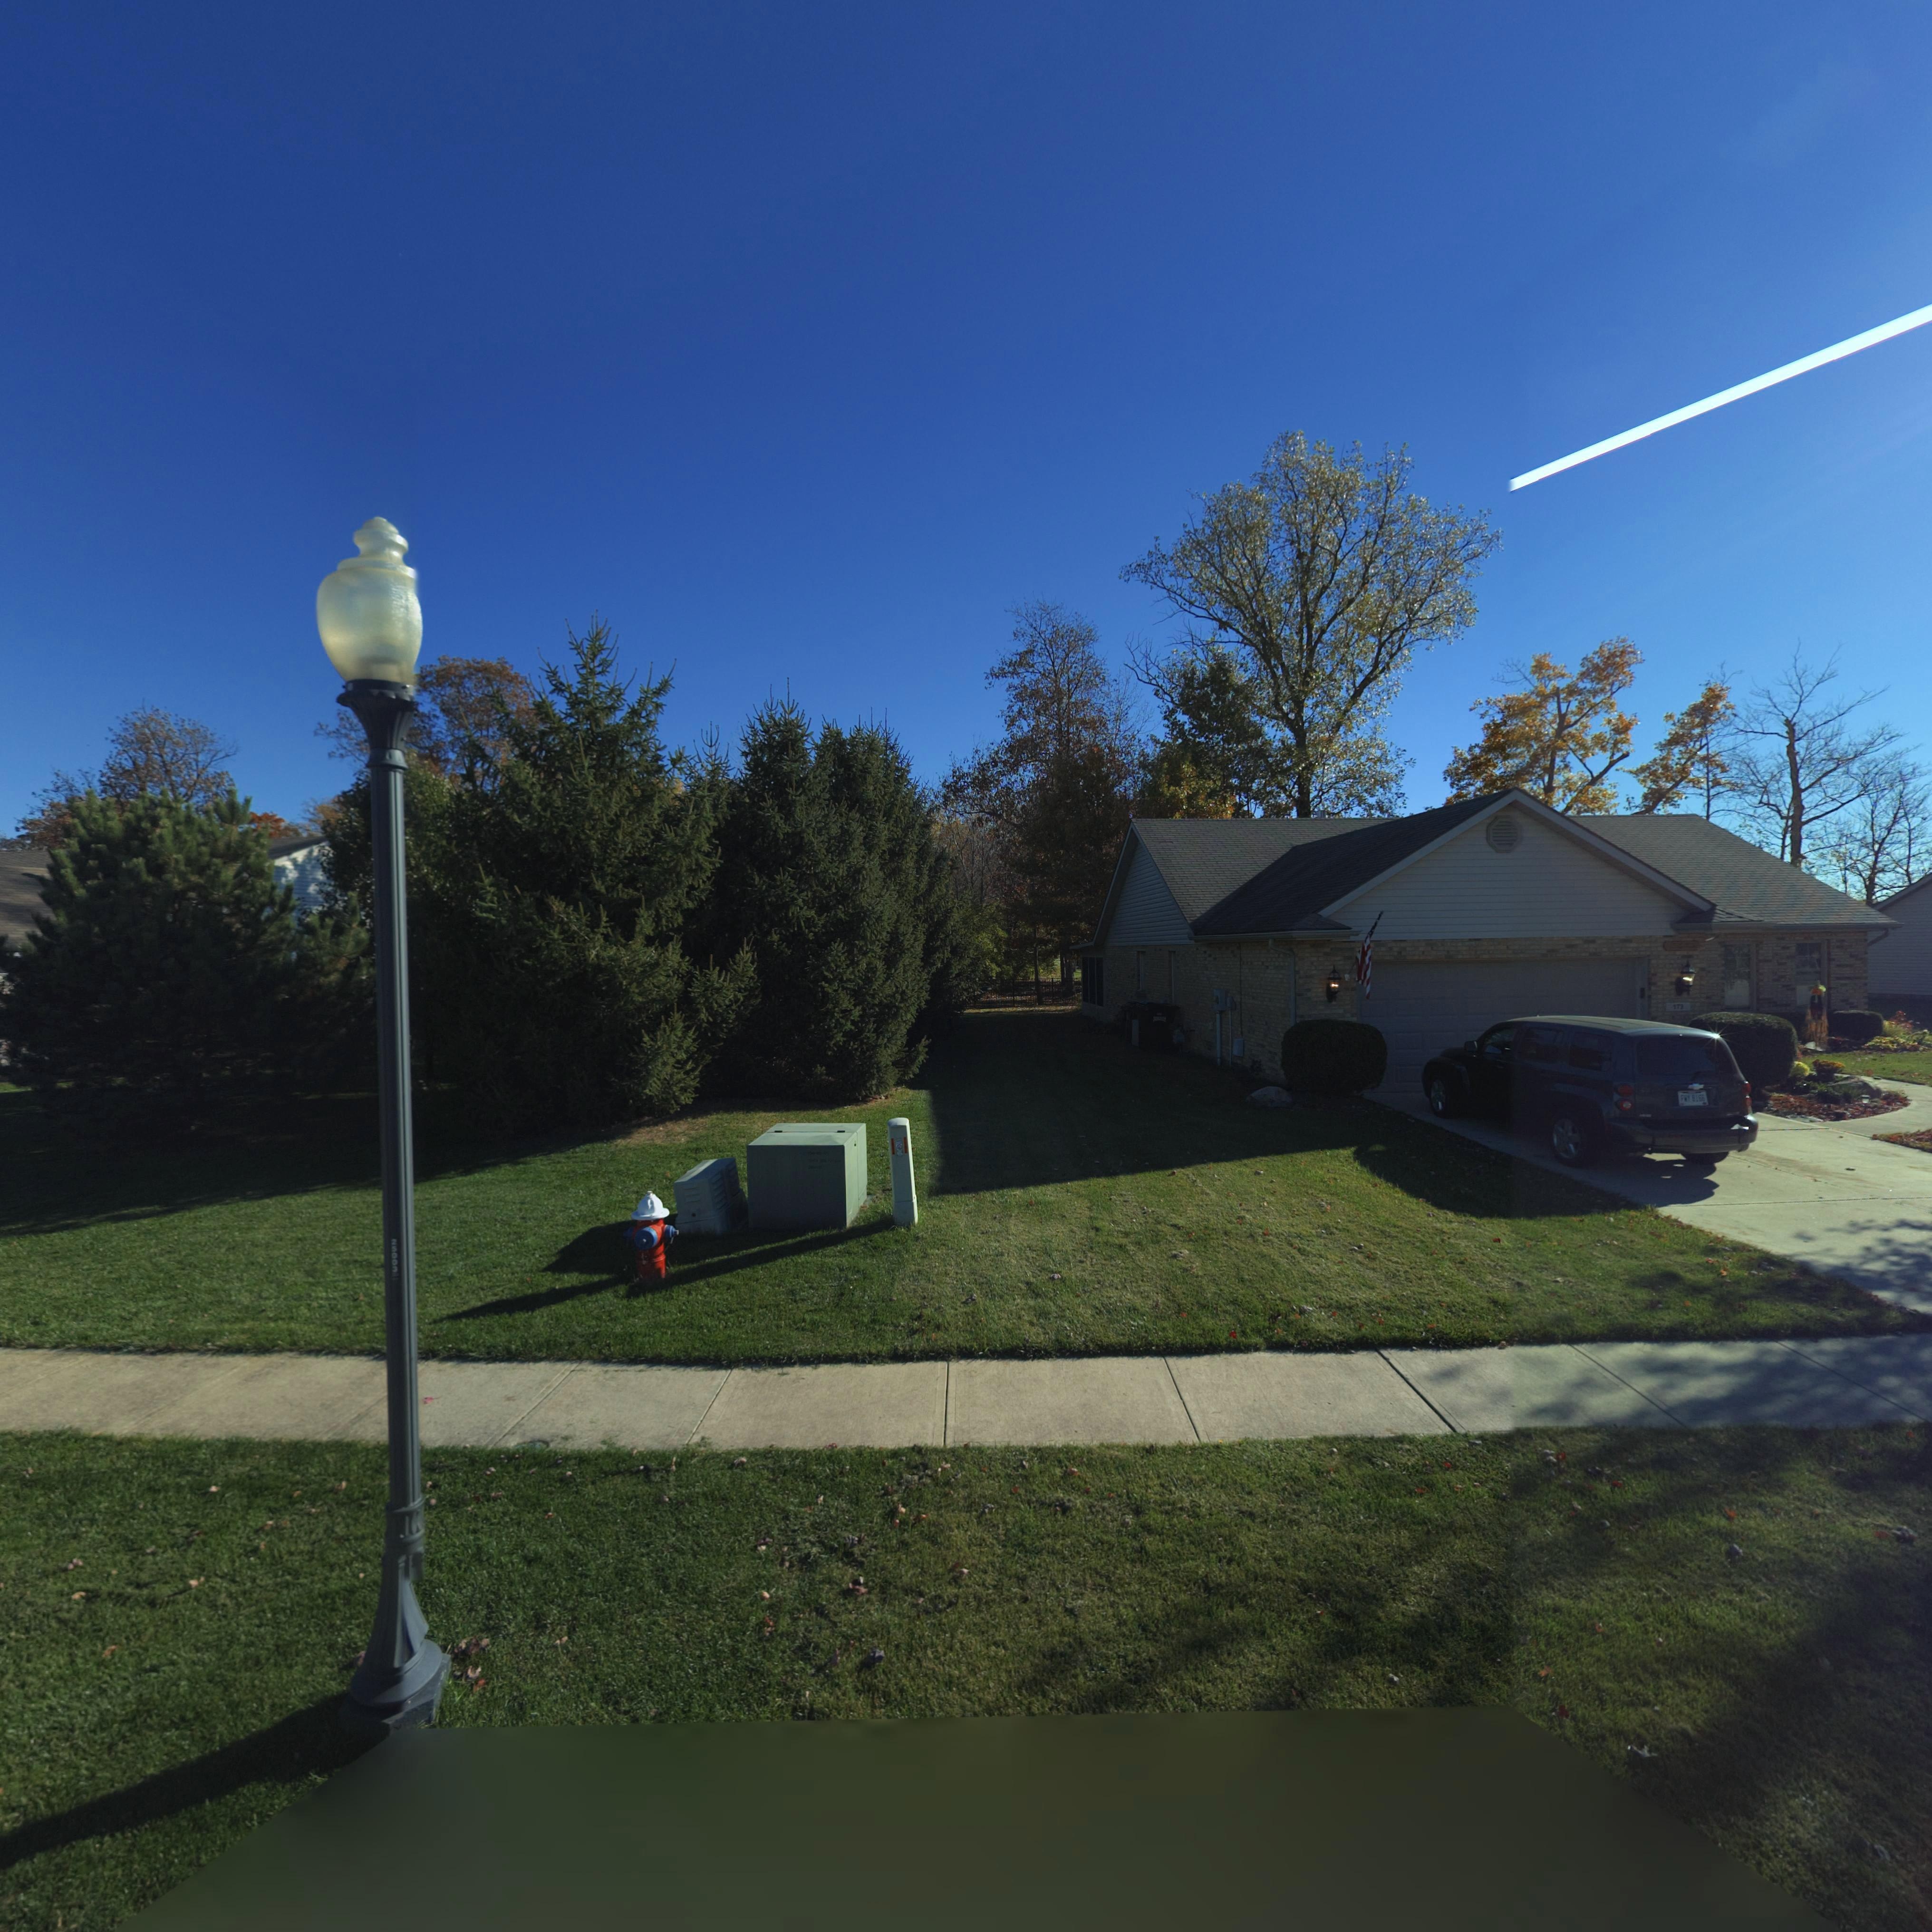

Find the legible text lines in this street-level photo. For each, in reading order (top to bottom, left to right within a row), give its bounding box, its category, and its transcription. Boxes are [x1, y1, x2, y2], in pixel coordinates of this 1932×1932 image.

[1672, 1003, 1684, 1010] StreetNumber: 173